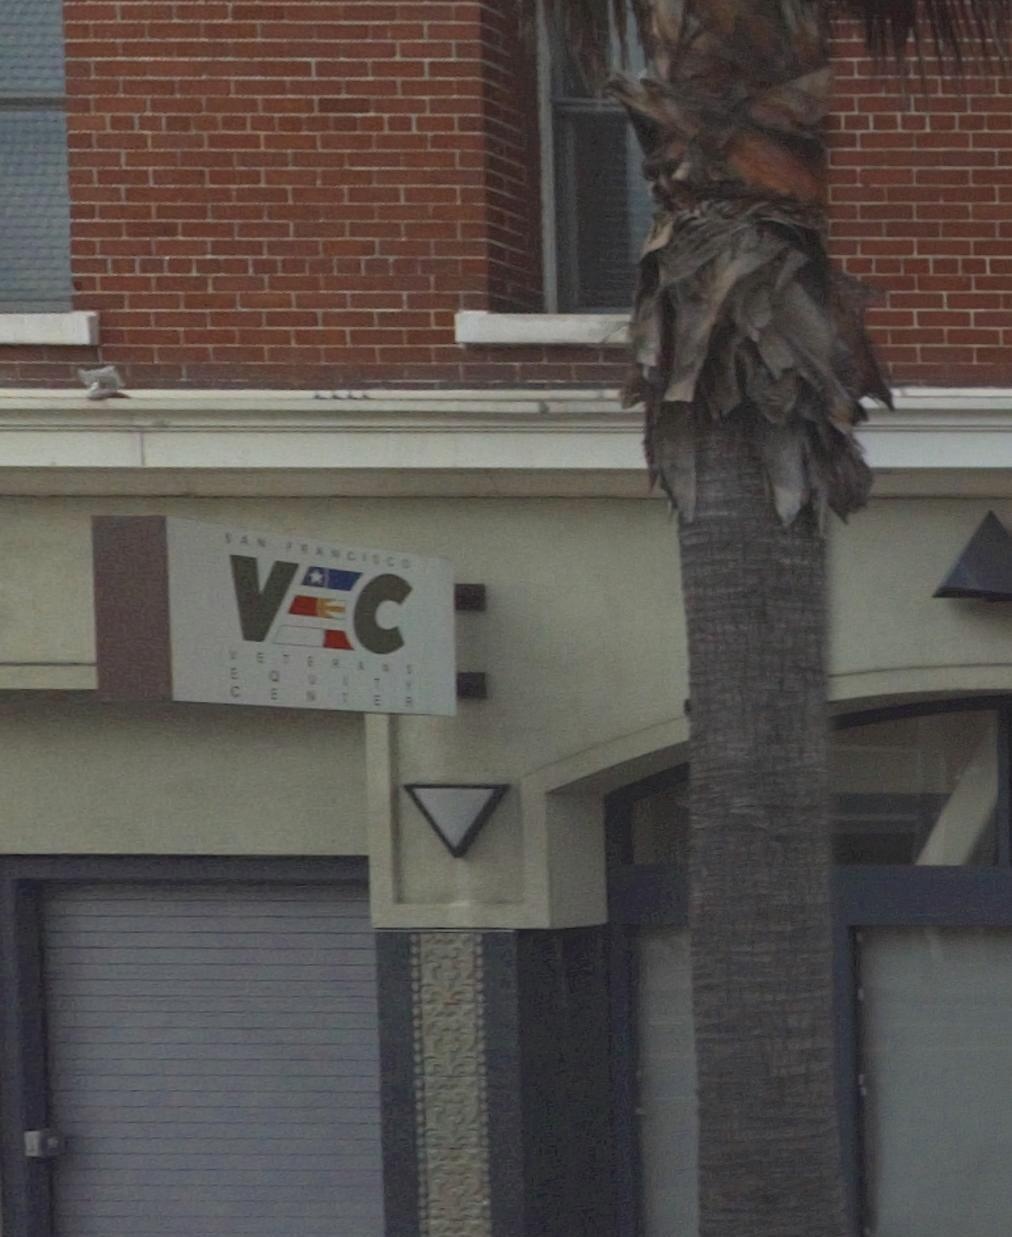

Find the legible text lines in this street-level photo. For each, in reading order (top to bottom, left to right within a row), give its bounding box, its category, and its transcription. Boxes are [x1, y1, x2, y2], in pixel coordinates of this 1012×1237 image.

[220, 528, 416, 574] None: San Francisco
[224, 549, 416, 659] None: V*C
[221, 645, 418, 679] BusinessName: VETERANS
[225, 682, 420, 711] BusinessName: CENTER
[226, 665, 420, 695] BusinessName: EQUNT*